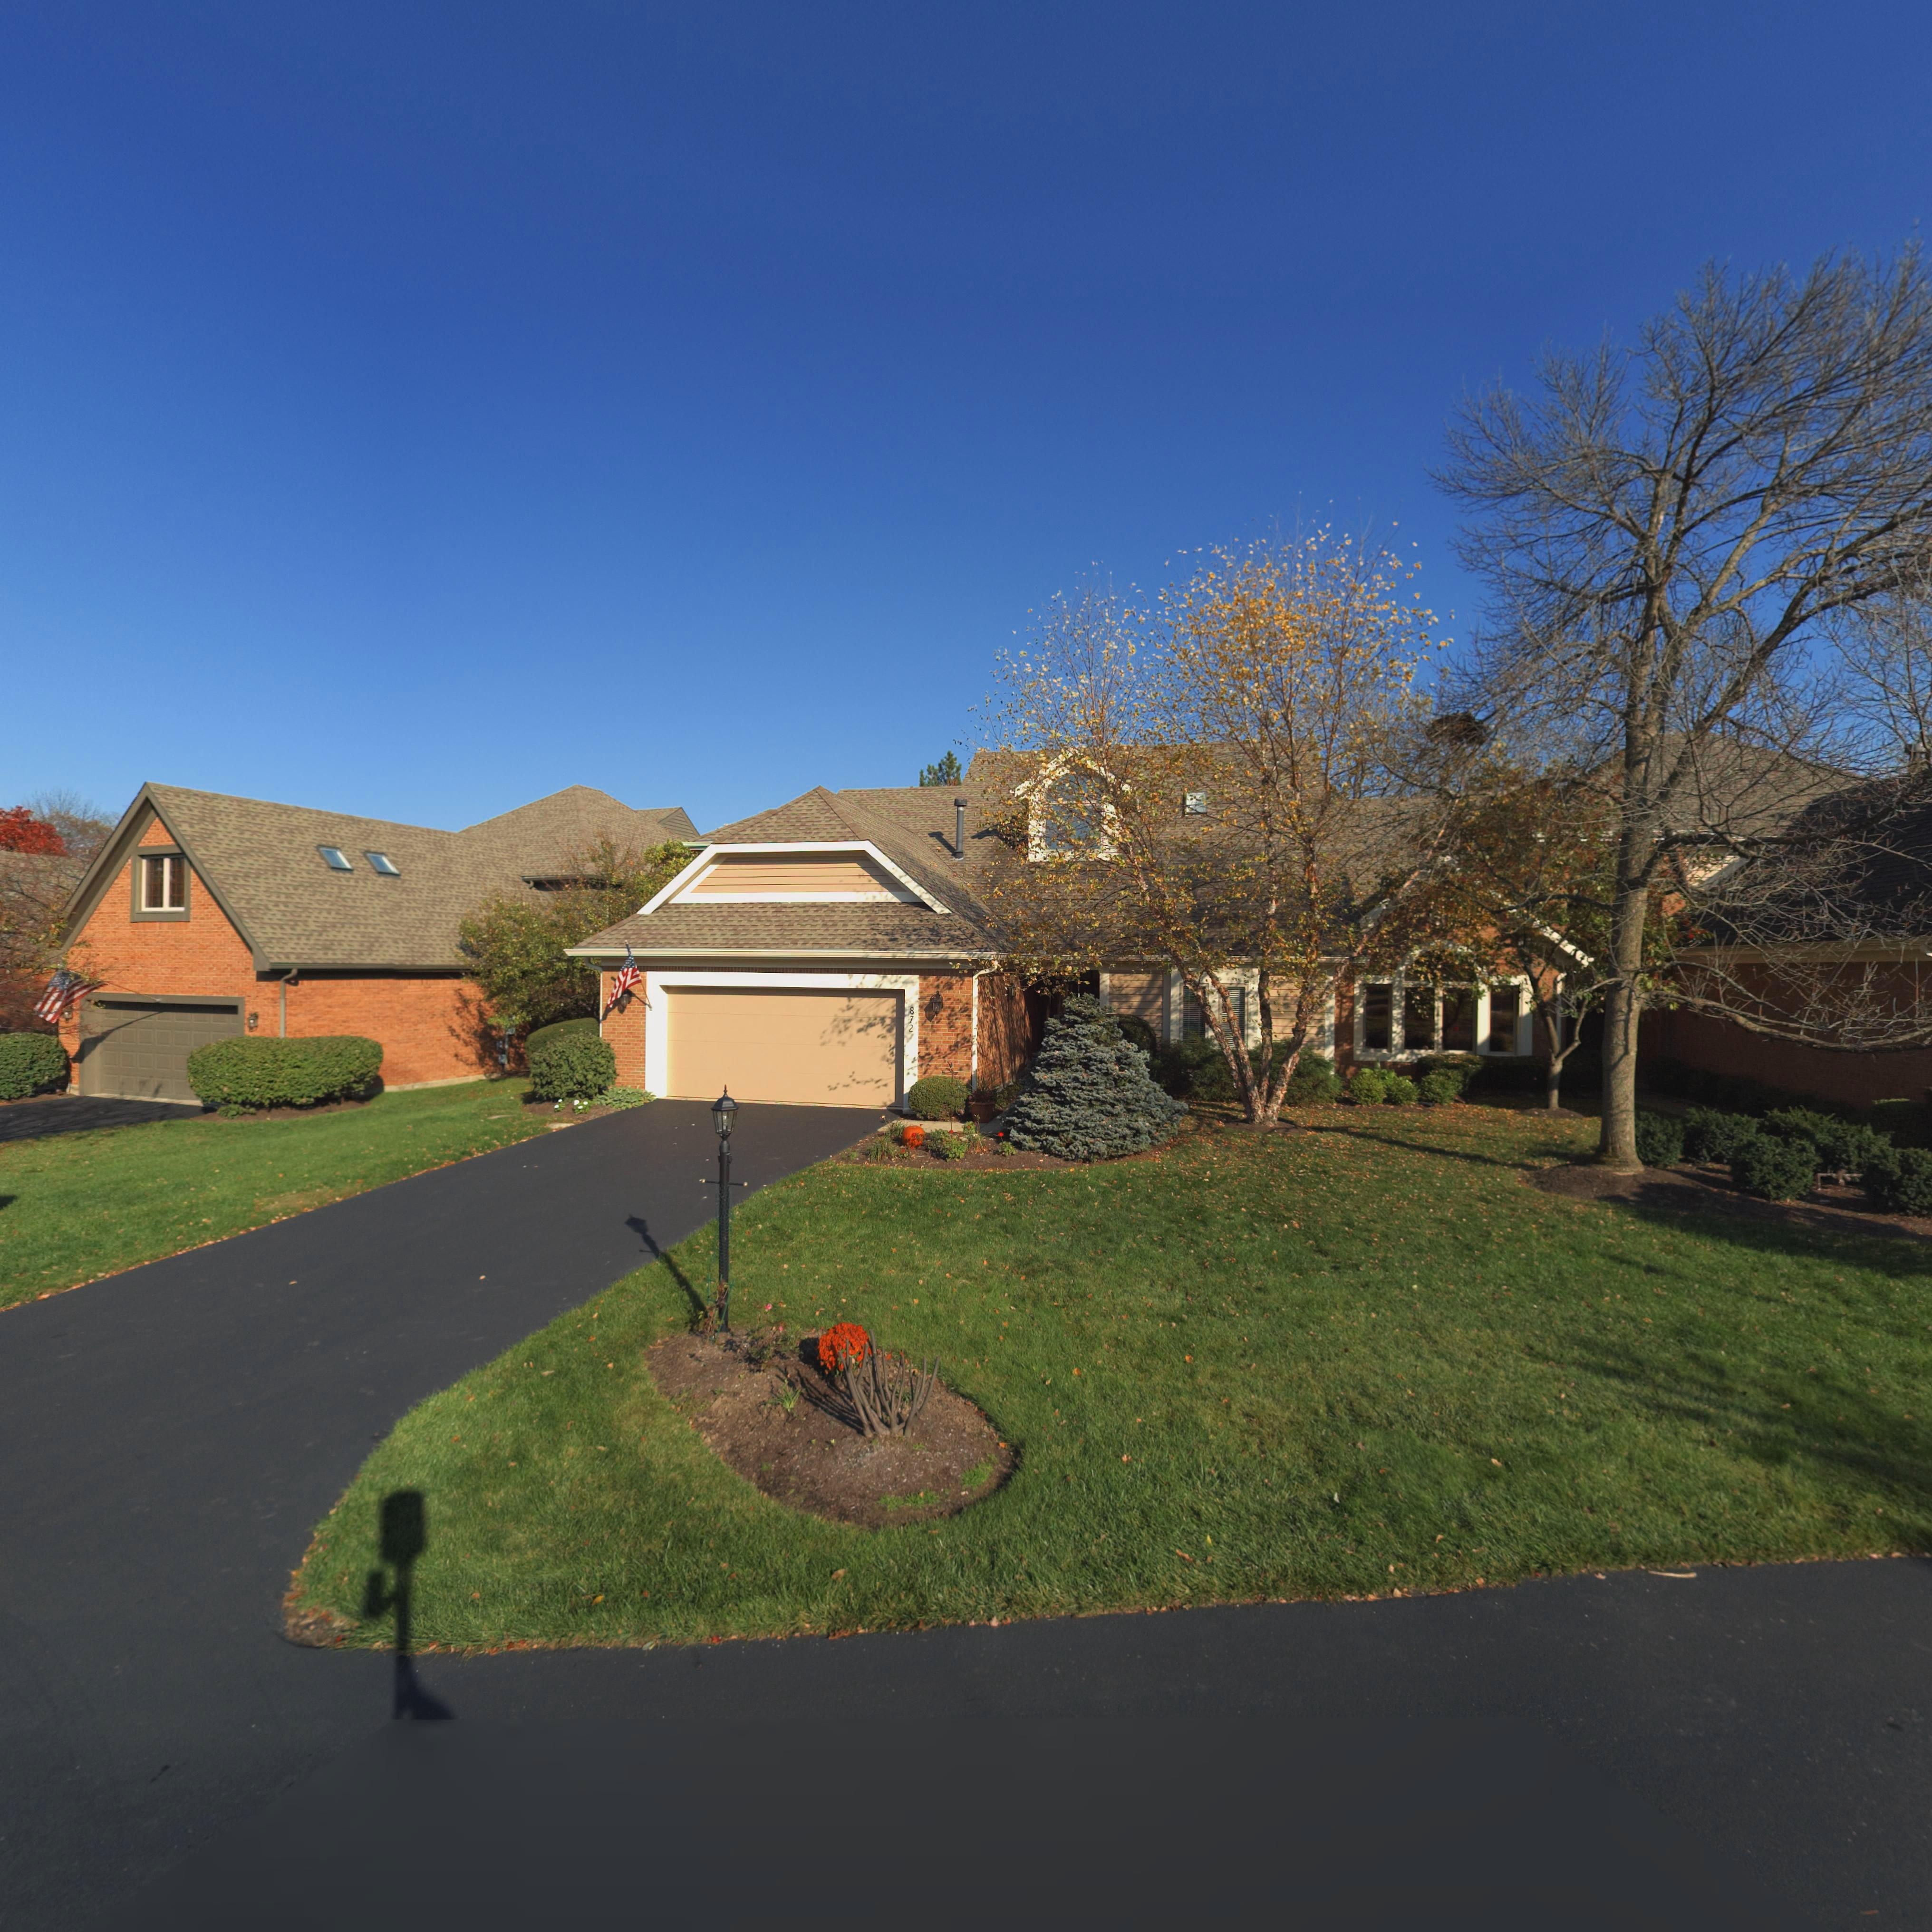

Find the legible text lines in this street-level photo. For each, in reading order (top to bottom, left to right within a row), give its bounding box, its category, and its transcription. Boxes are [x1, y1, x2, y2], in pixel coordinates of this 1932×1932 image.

[908, 1005, 915, 1033] StreetNumber: 872